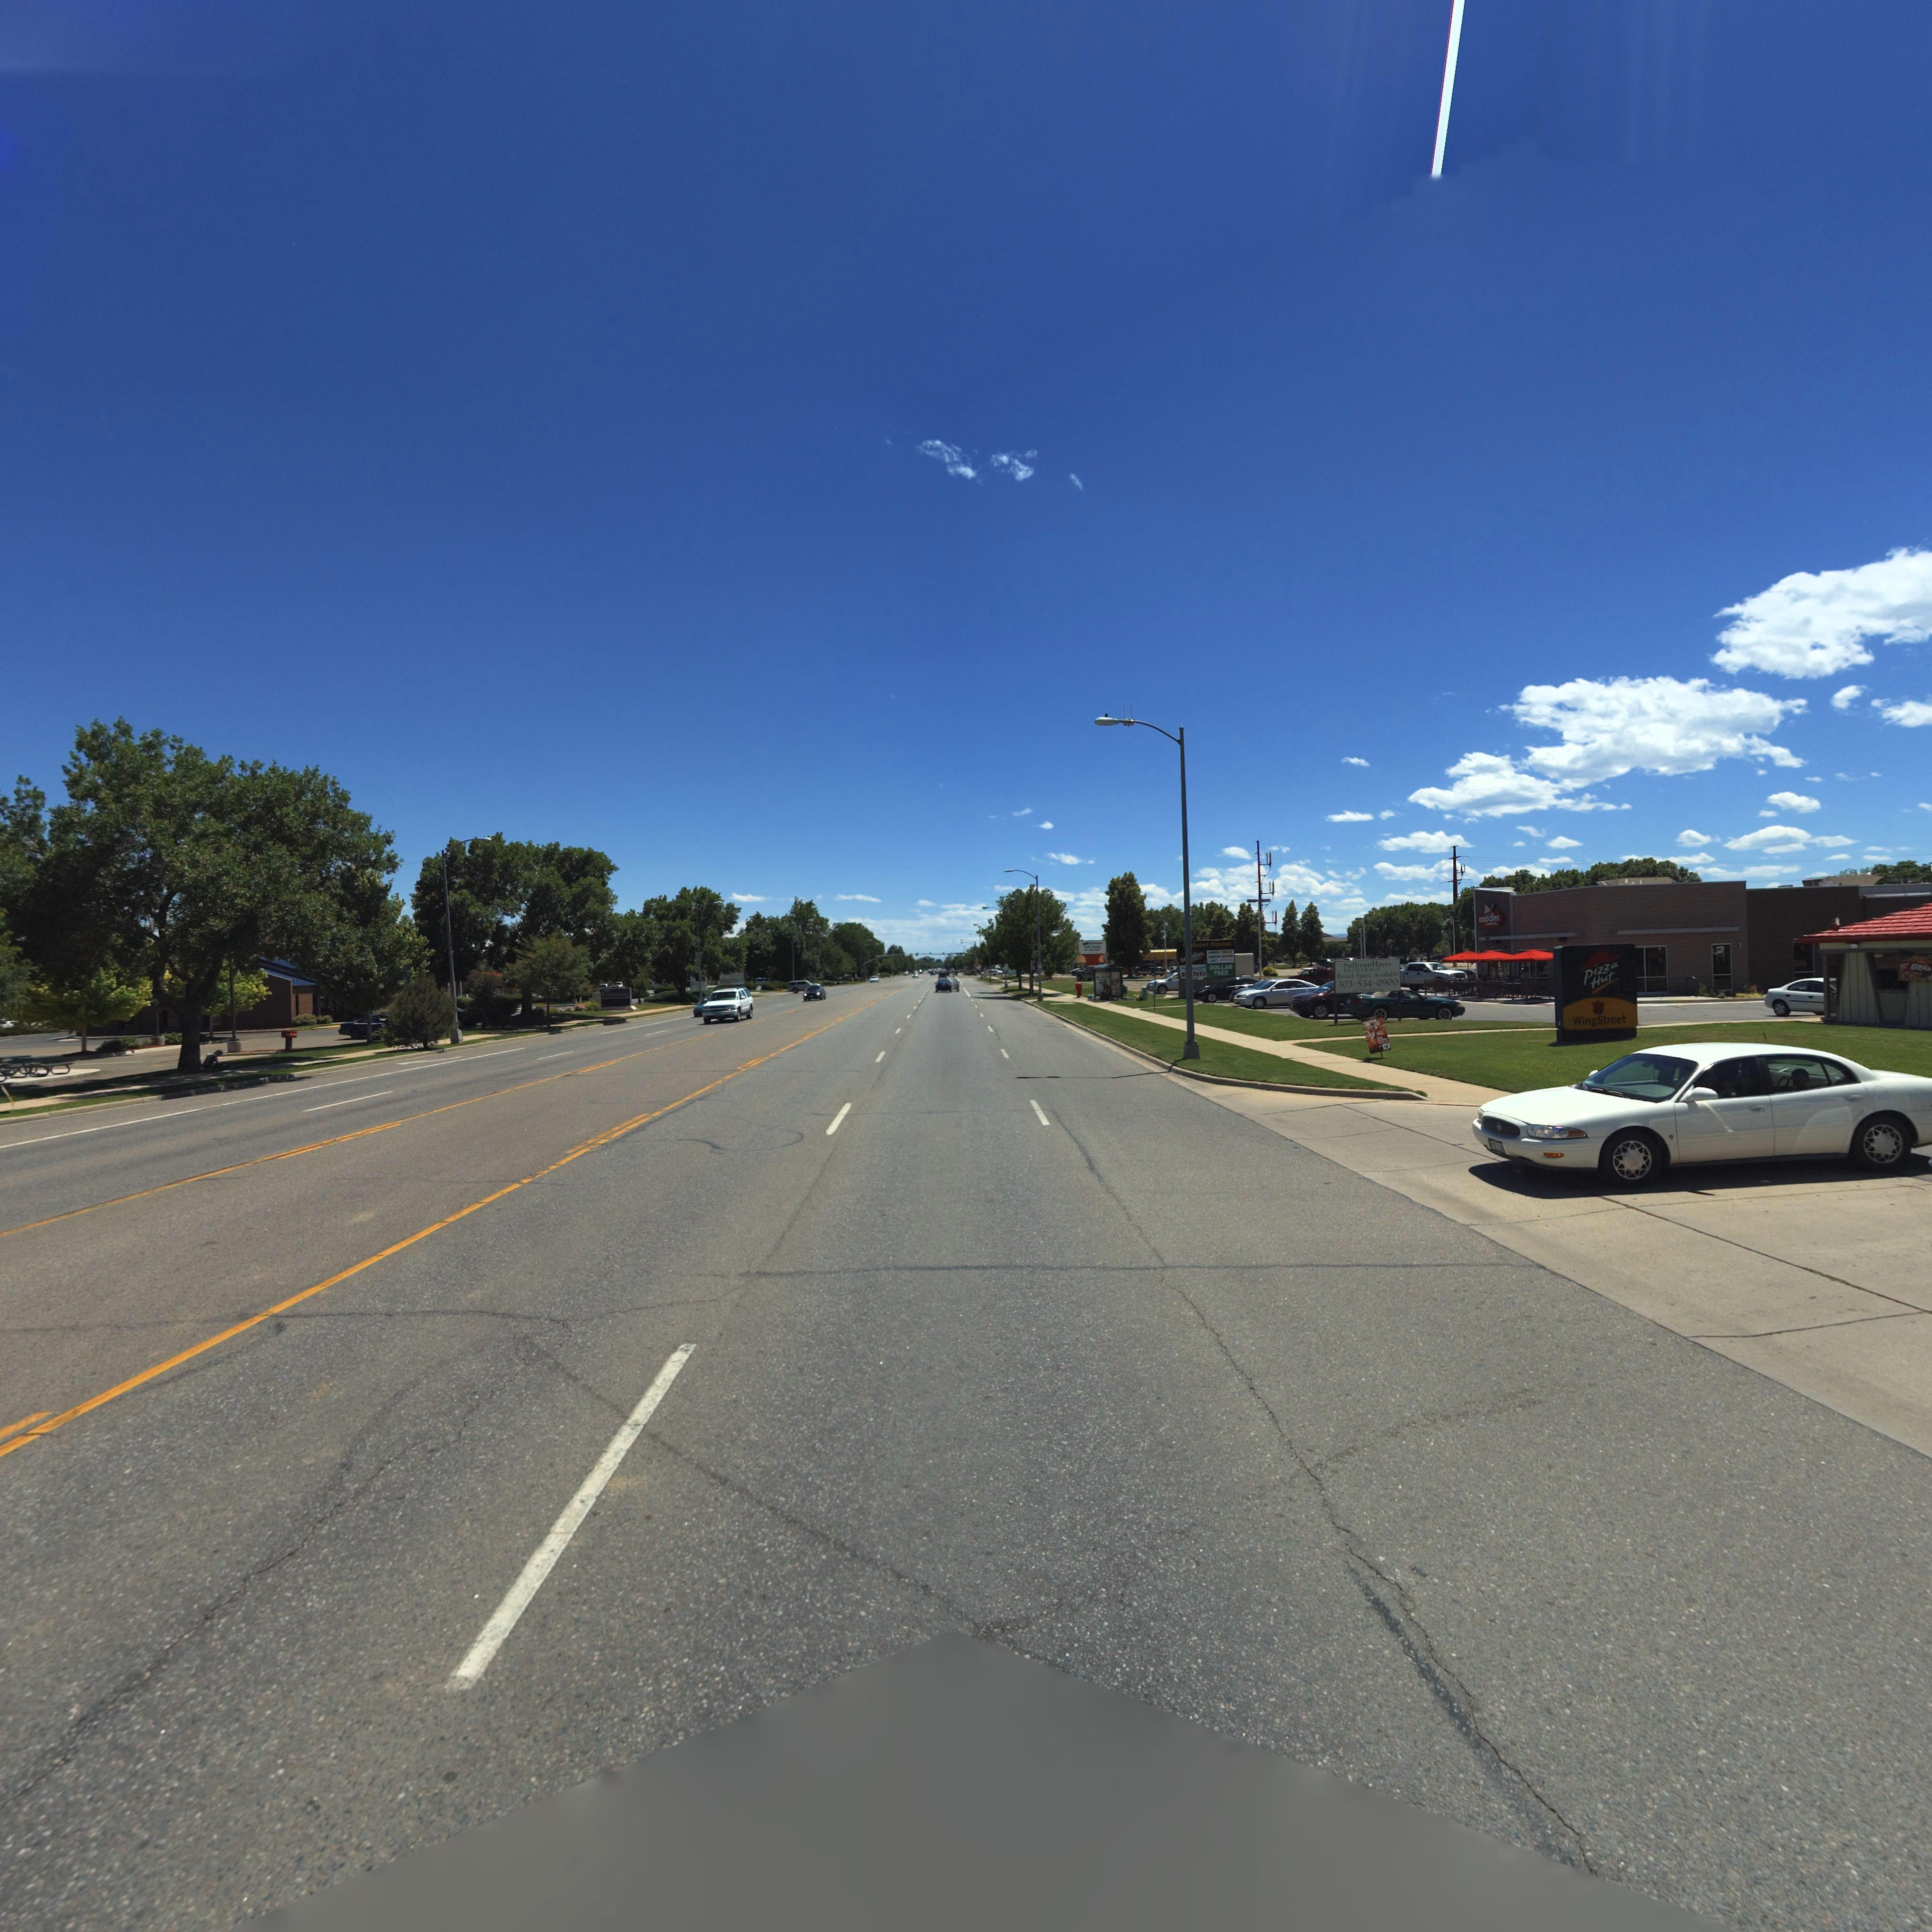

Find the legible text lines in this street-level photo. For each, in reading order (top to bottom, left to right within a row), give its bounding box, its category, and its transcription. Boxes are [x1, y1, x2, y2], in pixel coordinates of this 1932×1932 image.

[1478, 912, 1499, 922] BusinessName: noodle*
[1486, 922, 1497, 927] BusinessName: ***p***
[1193, 941, 1231, 947] BusinessName: la*e* ****e*s
[1180, 951, 1204, 963] BusinessName: n**dl*s
[1208, 954, 1233, 958] BusinessName: CA**** C**T**
[1184, 966, 1203, 971] BusinessName: ****COO
[1209, 964, 1233, 970] BusinessName: DOLLAR
[1181, 971, 1206, 977] BusinessName: **NG
[1213, 970, 1228, 976] BusinessName: TREE
[1584, 961, 1619, 986] BusinessName: Pizza
[1591, 971, 1615, 989] BusinessName: Hut
[1572, 1014, 1626, 1026] BusinessName: Wing Street